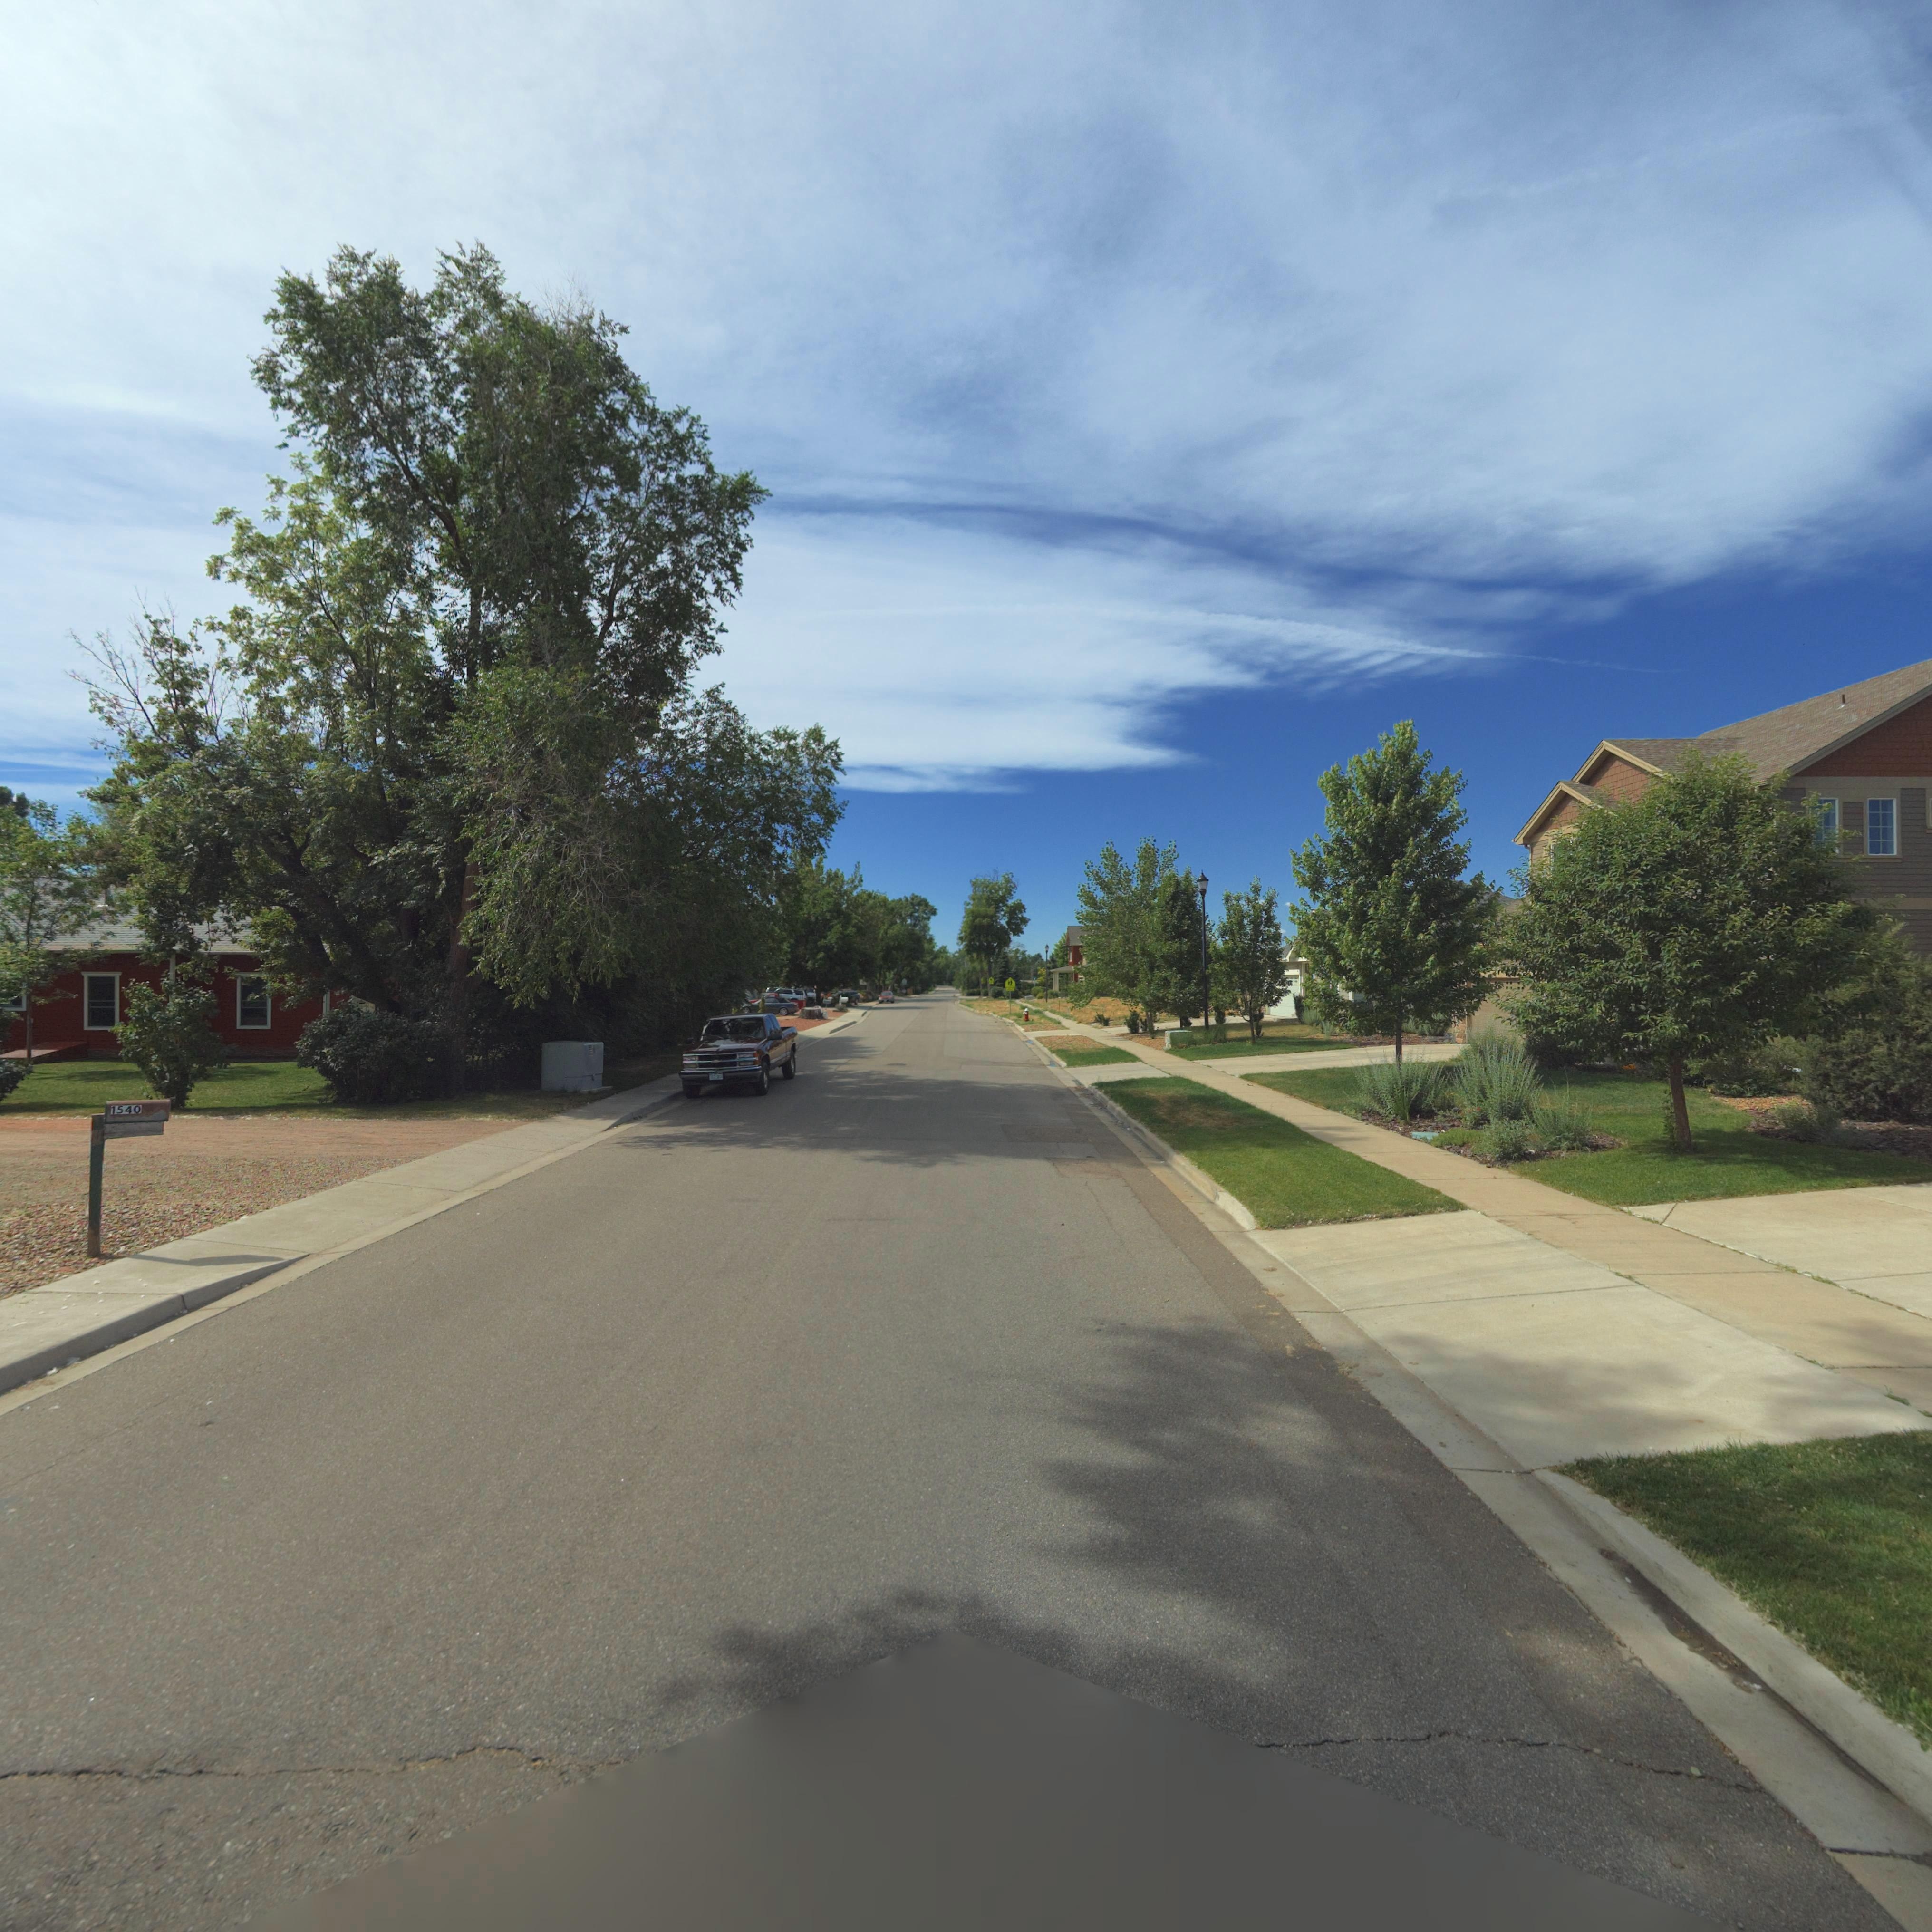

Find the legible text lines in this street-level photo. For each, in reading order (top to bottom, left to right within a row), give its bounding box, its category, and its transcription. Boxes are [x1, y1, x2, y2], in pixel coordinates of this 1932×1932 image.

[112, 1105, 140, 1114] StreetNumber: 1540